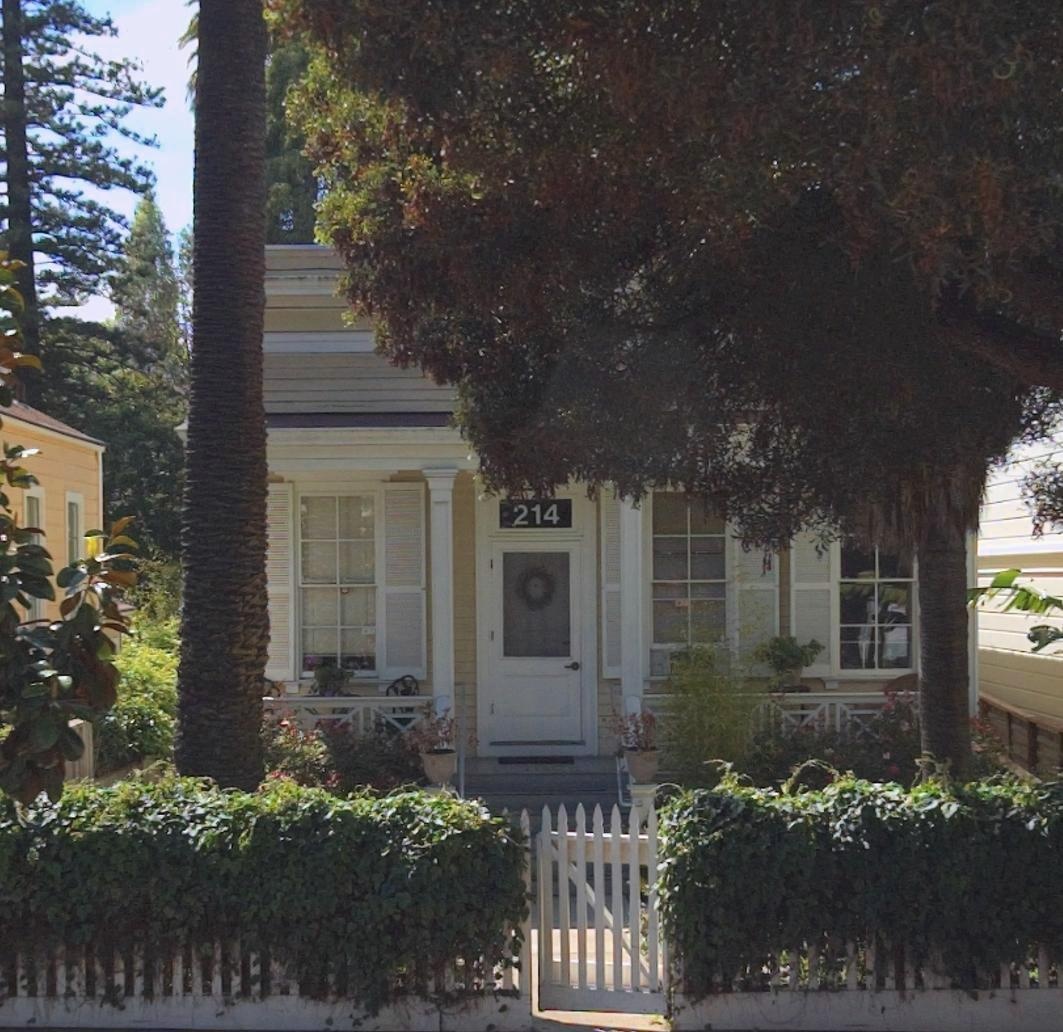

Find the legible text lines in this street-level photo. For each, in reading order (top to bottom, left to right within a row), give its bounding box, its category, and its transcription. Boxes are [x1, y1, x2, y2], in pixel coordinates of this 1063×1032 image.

[511, 502, 562, 526] StreetNumber: 214